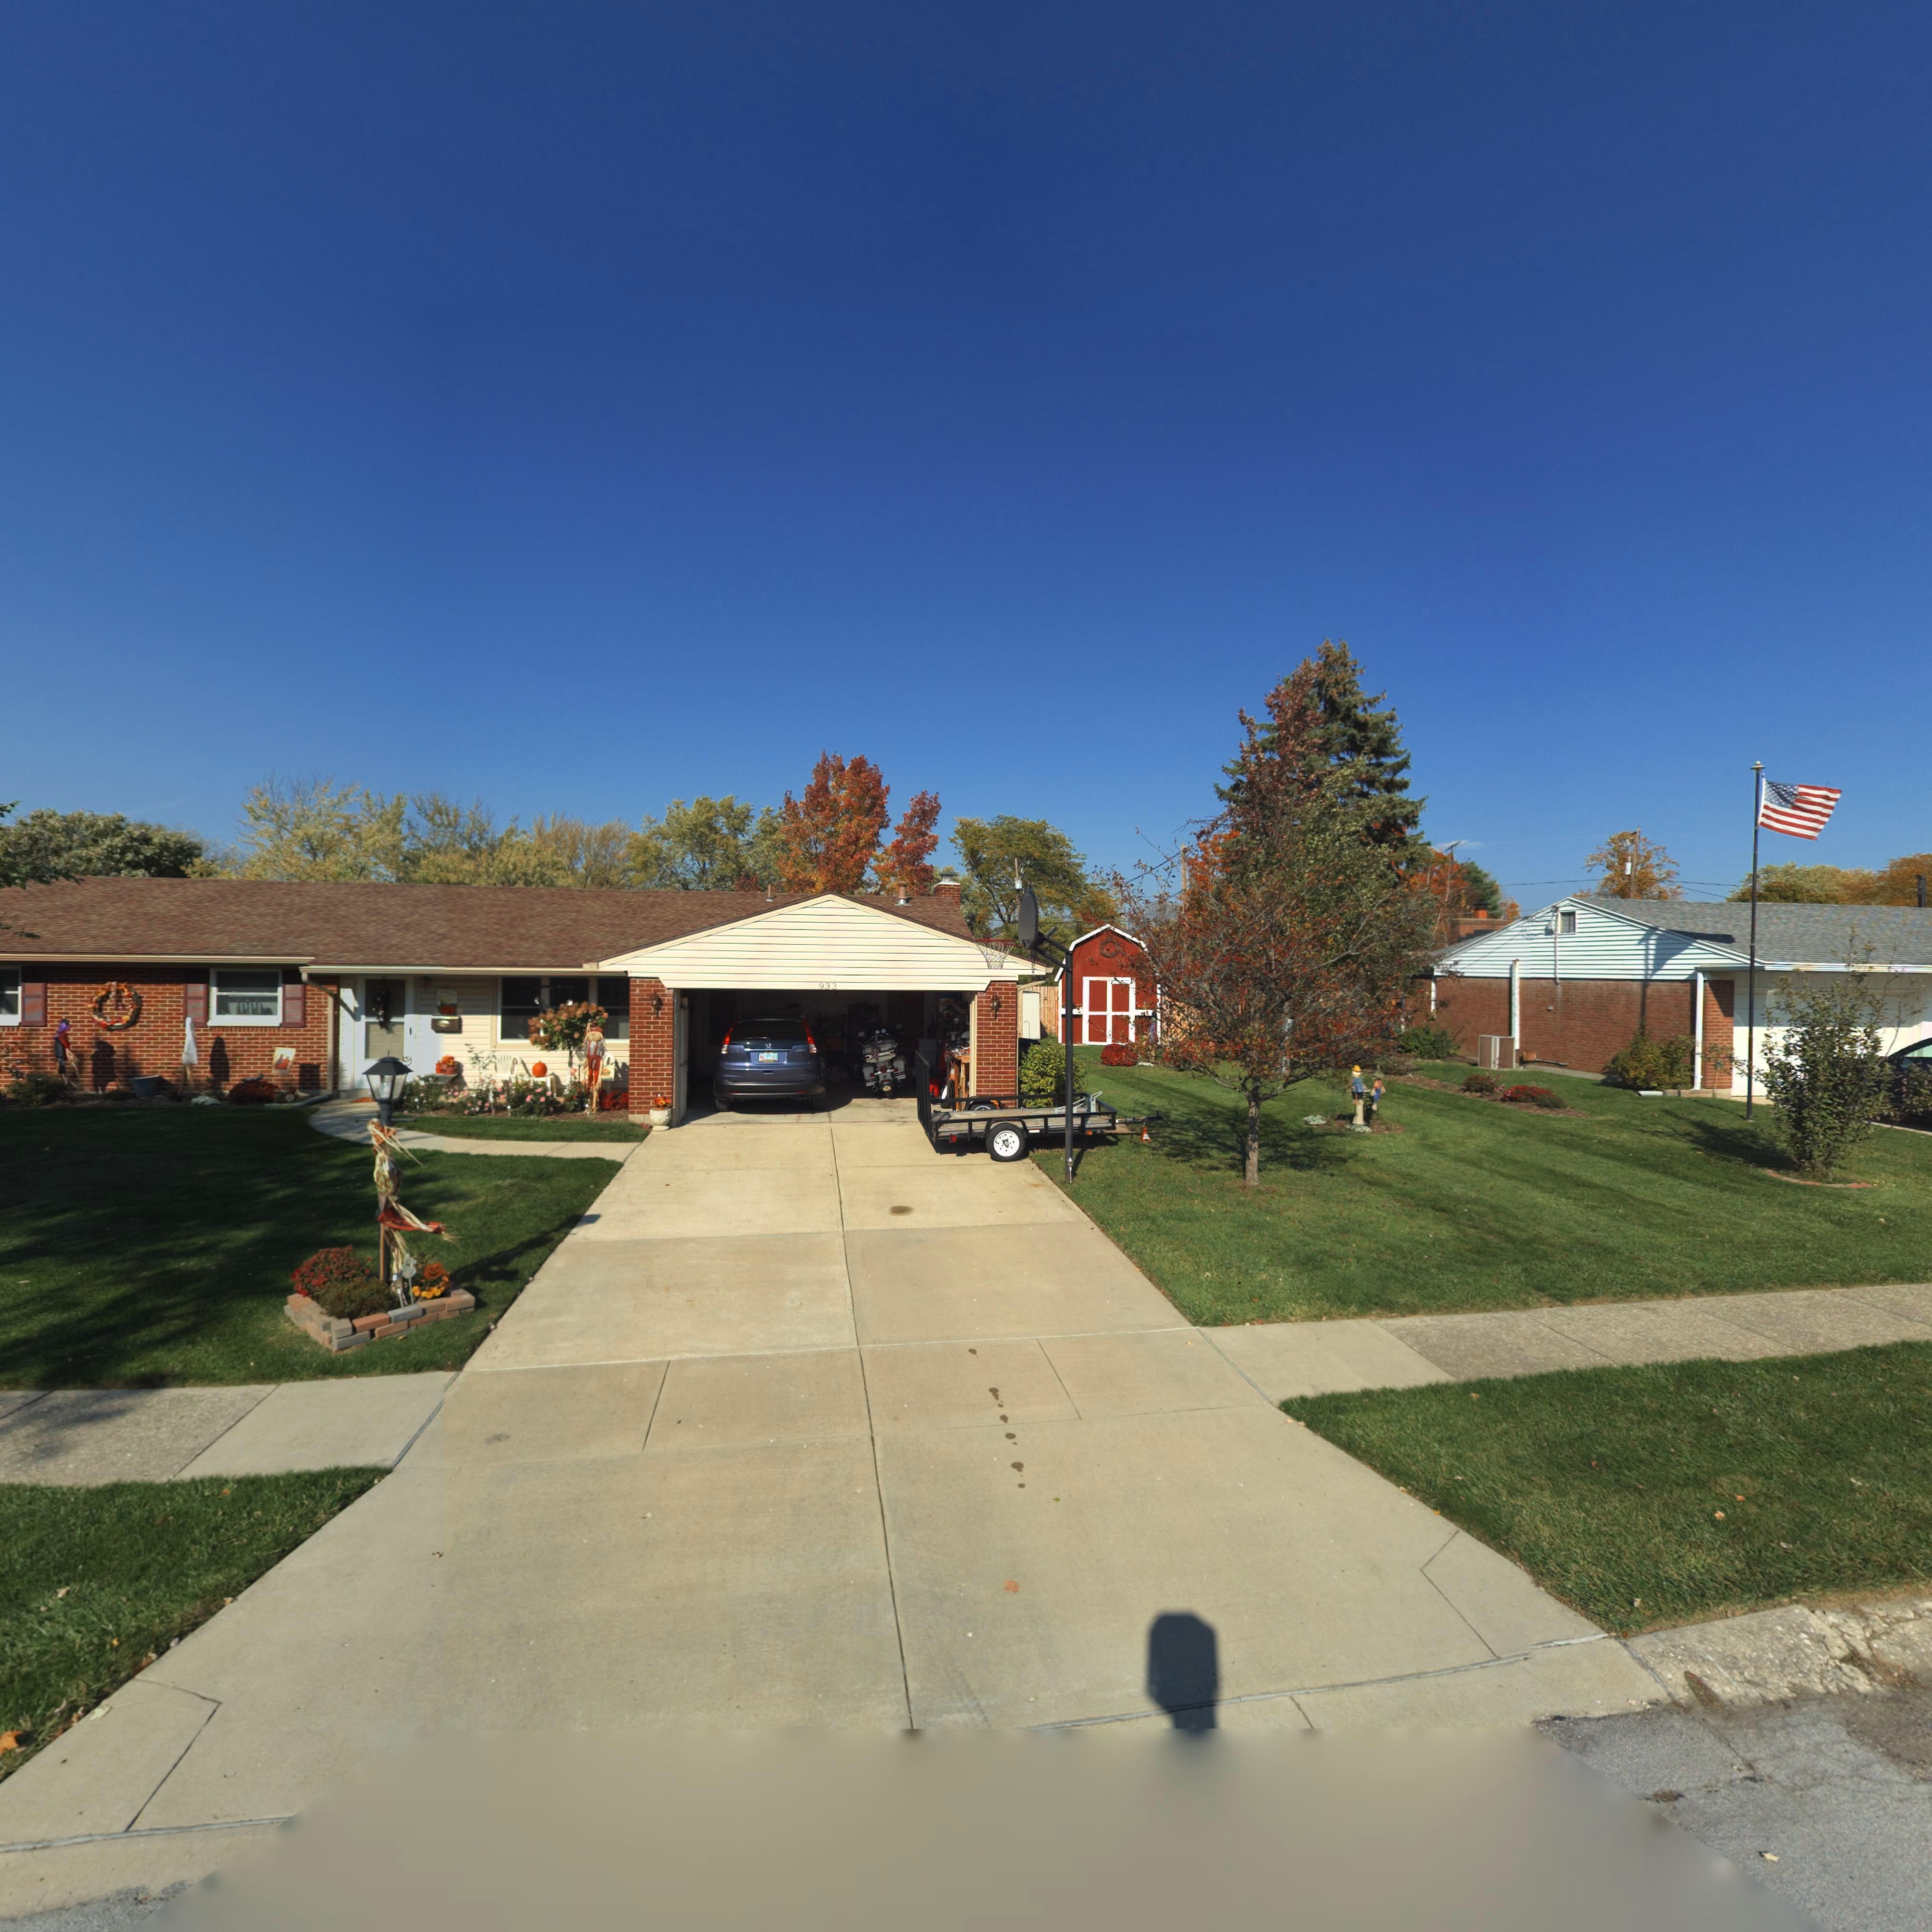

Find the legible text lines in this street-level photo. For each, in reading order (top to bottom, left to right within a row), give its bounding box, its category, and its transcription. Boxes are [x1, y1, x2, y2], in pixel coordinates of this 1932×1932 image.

[818, 981, 838, 991] StreetNumber: 933